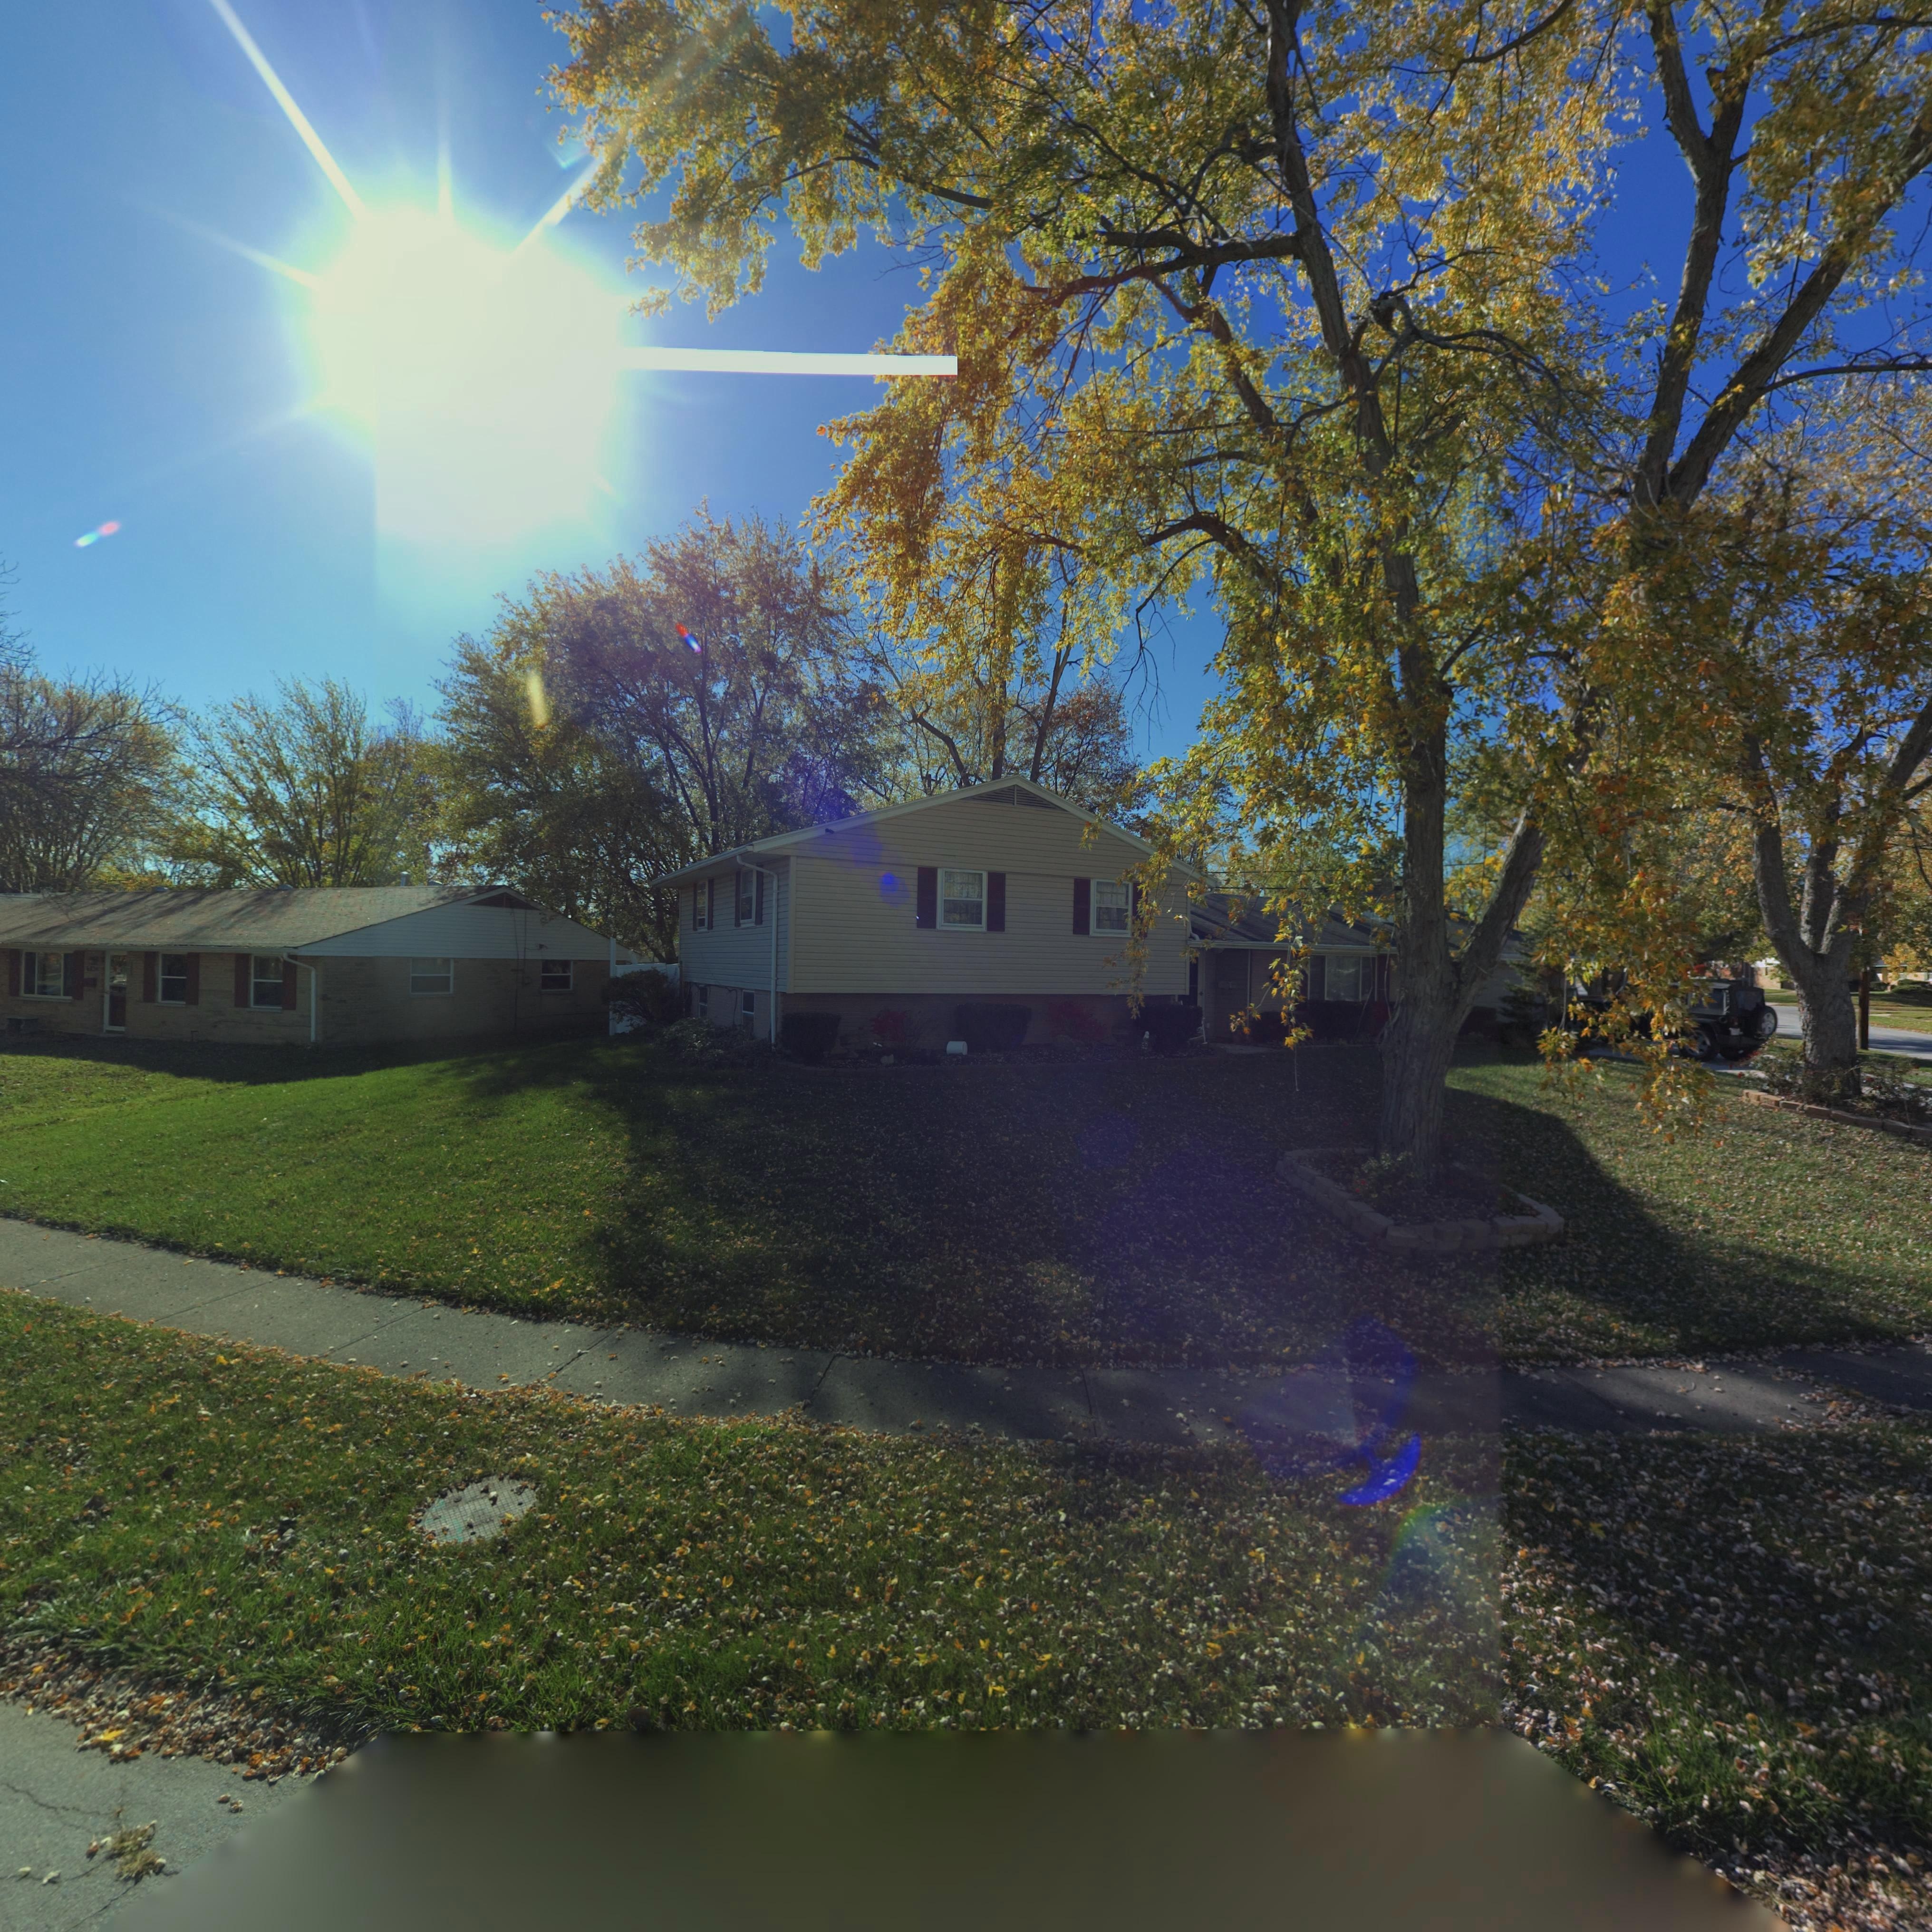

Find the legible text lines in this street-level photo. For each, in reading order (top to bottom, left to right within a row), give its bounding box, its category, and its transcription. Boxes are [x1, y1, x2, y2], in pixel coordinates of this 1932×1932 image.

[85, 965, 100, 973] StreetNumber: 68**